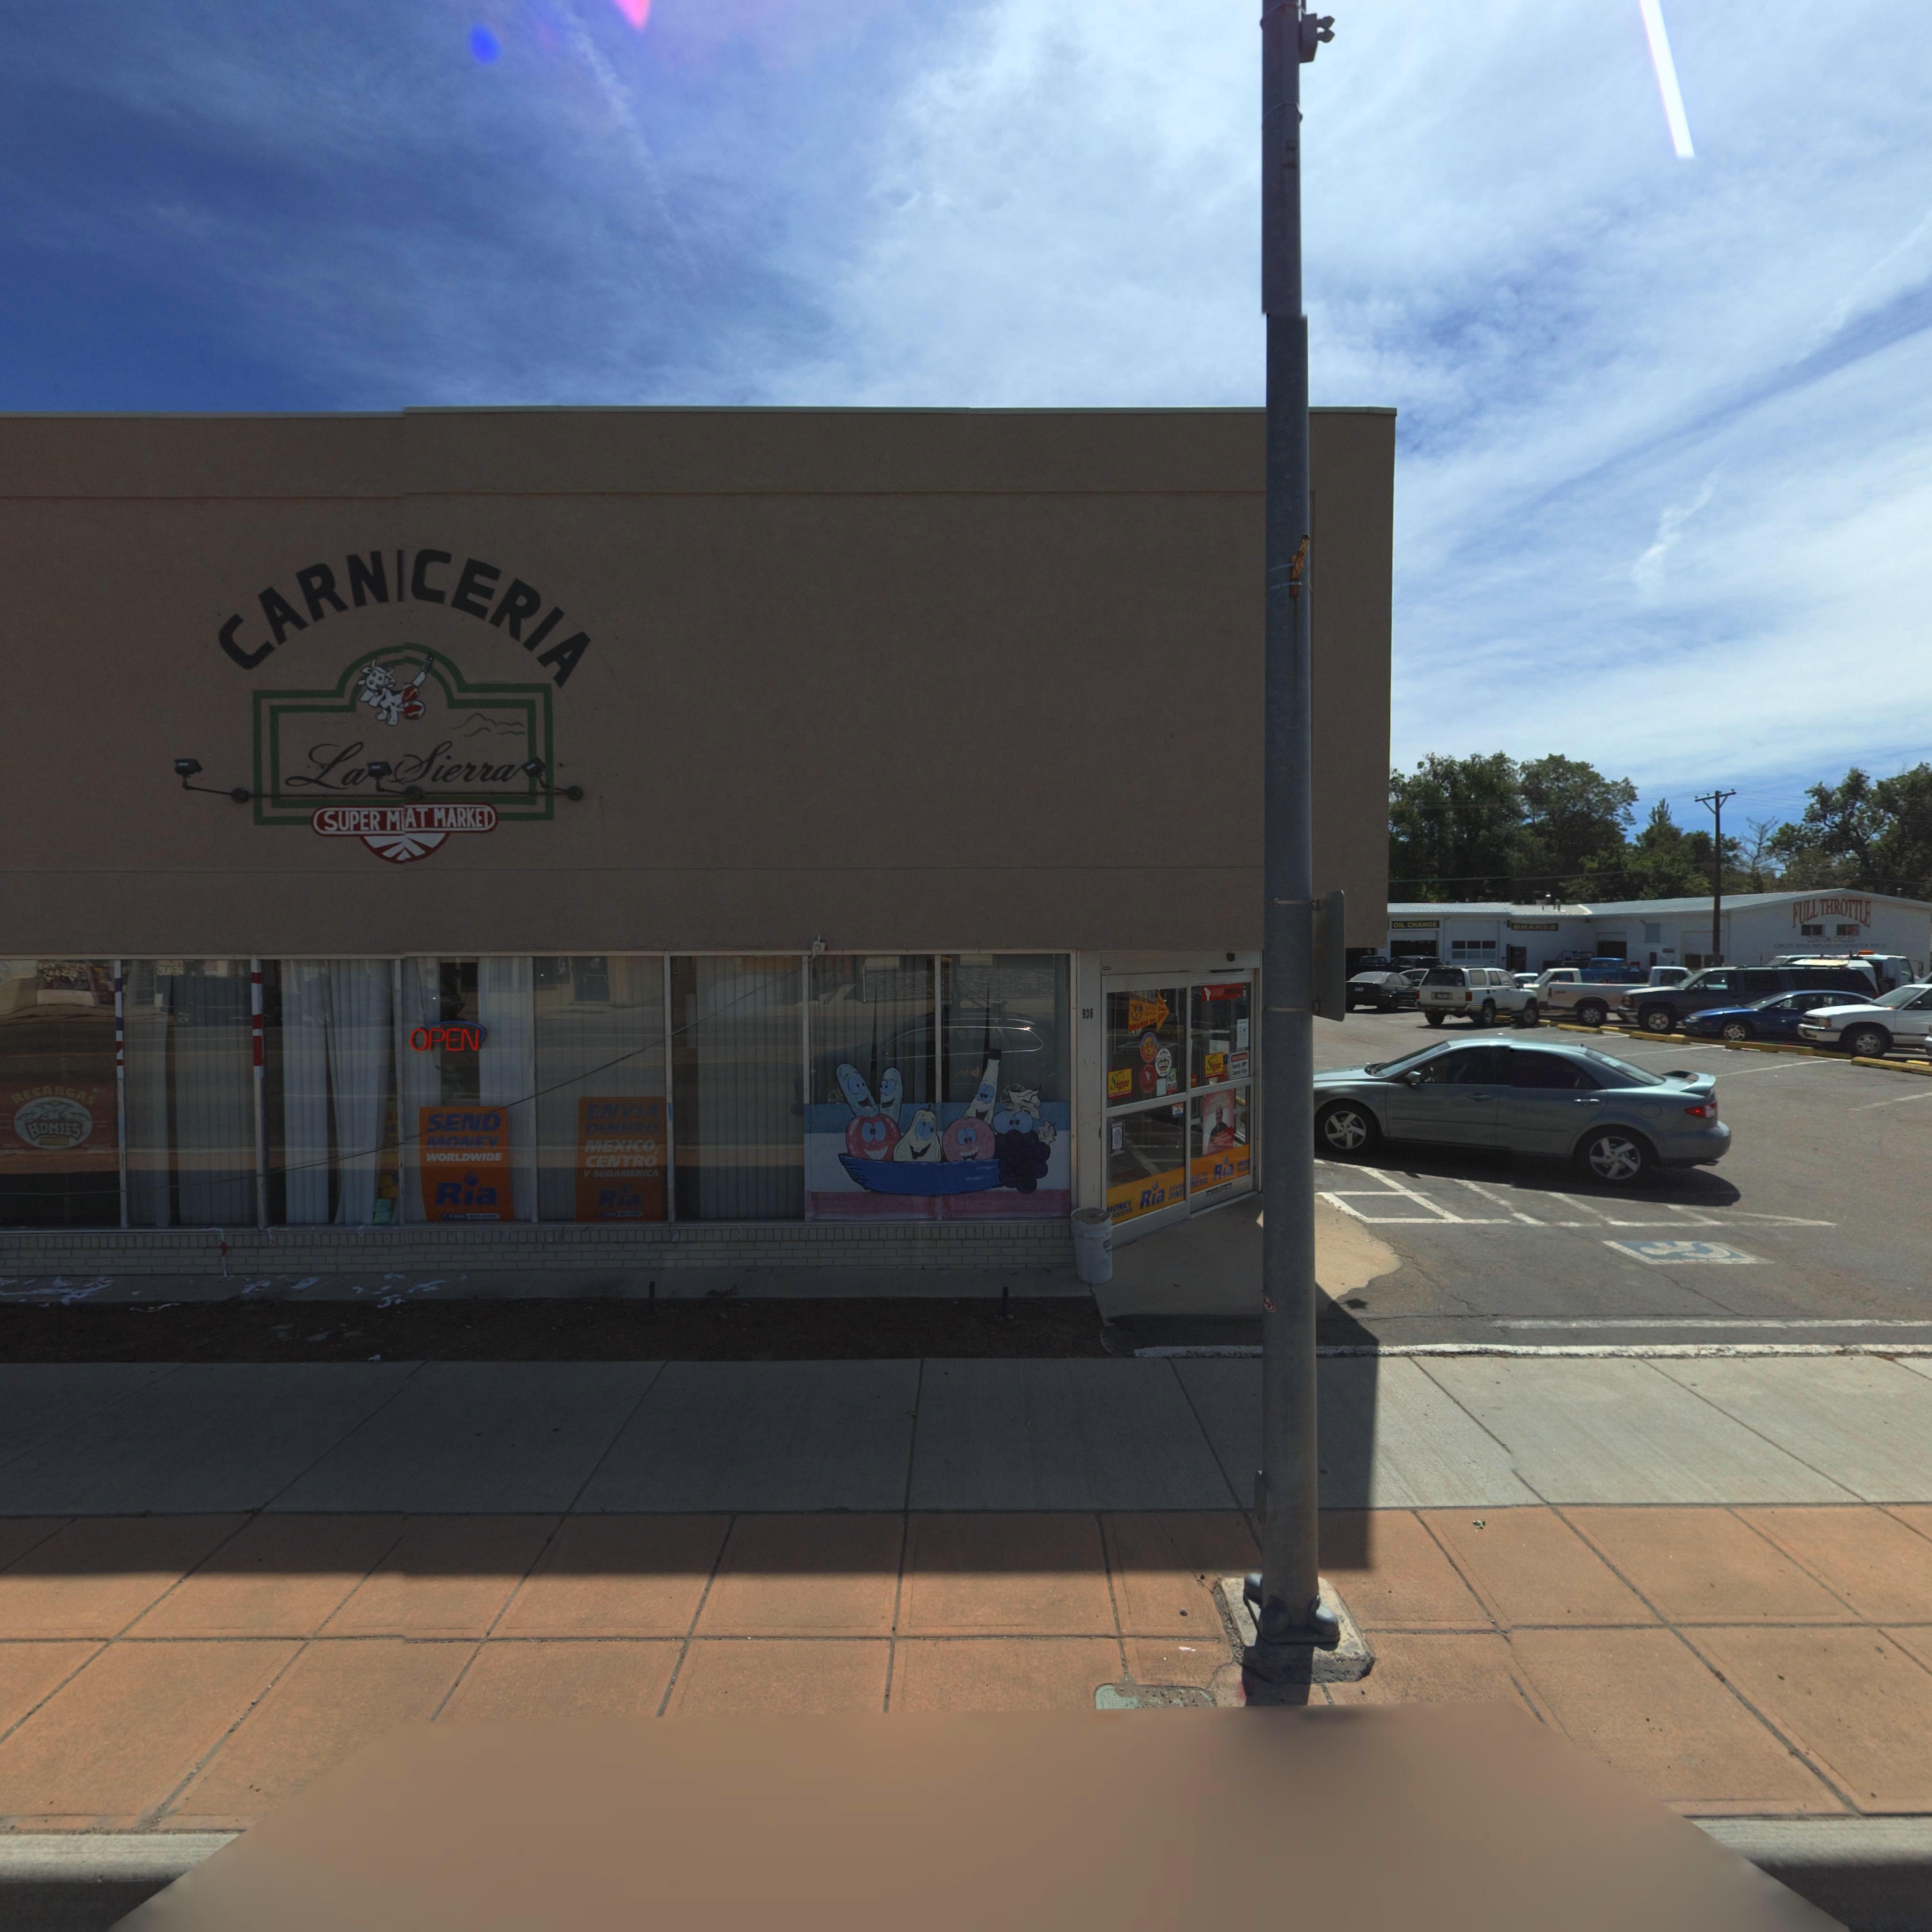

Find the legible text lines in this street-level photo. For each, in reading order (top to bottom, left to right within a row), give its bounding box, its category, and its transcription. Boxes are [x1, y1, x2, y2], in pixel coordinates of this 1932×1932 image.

[217, 547, 593, 691] BusinessName: CARNCERIA
[283, 738, 525, 791] BusinessName: La Sierra
[1792, 898, 1872, 929] BusinessName: FULL THROTTLE
[1082, 1008, 1093, 1019] StreetNumber: 936